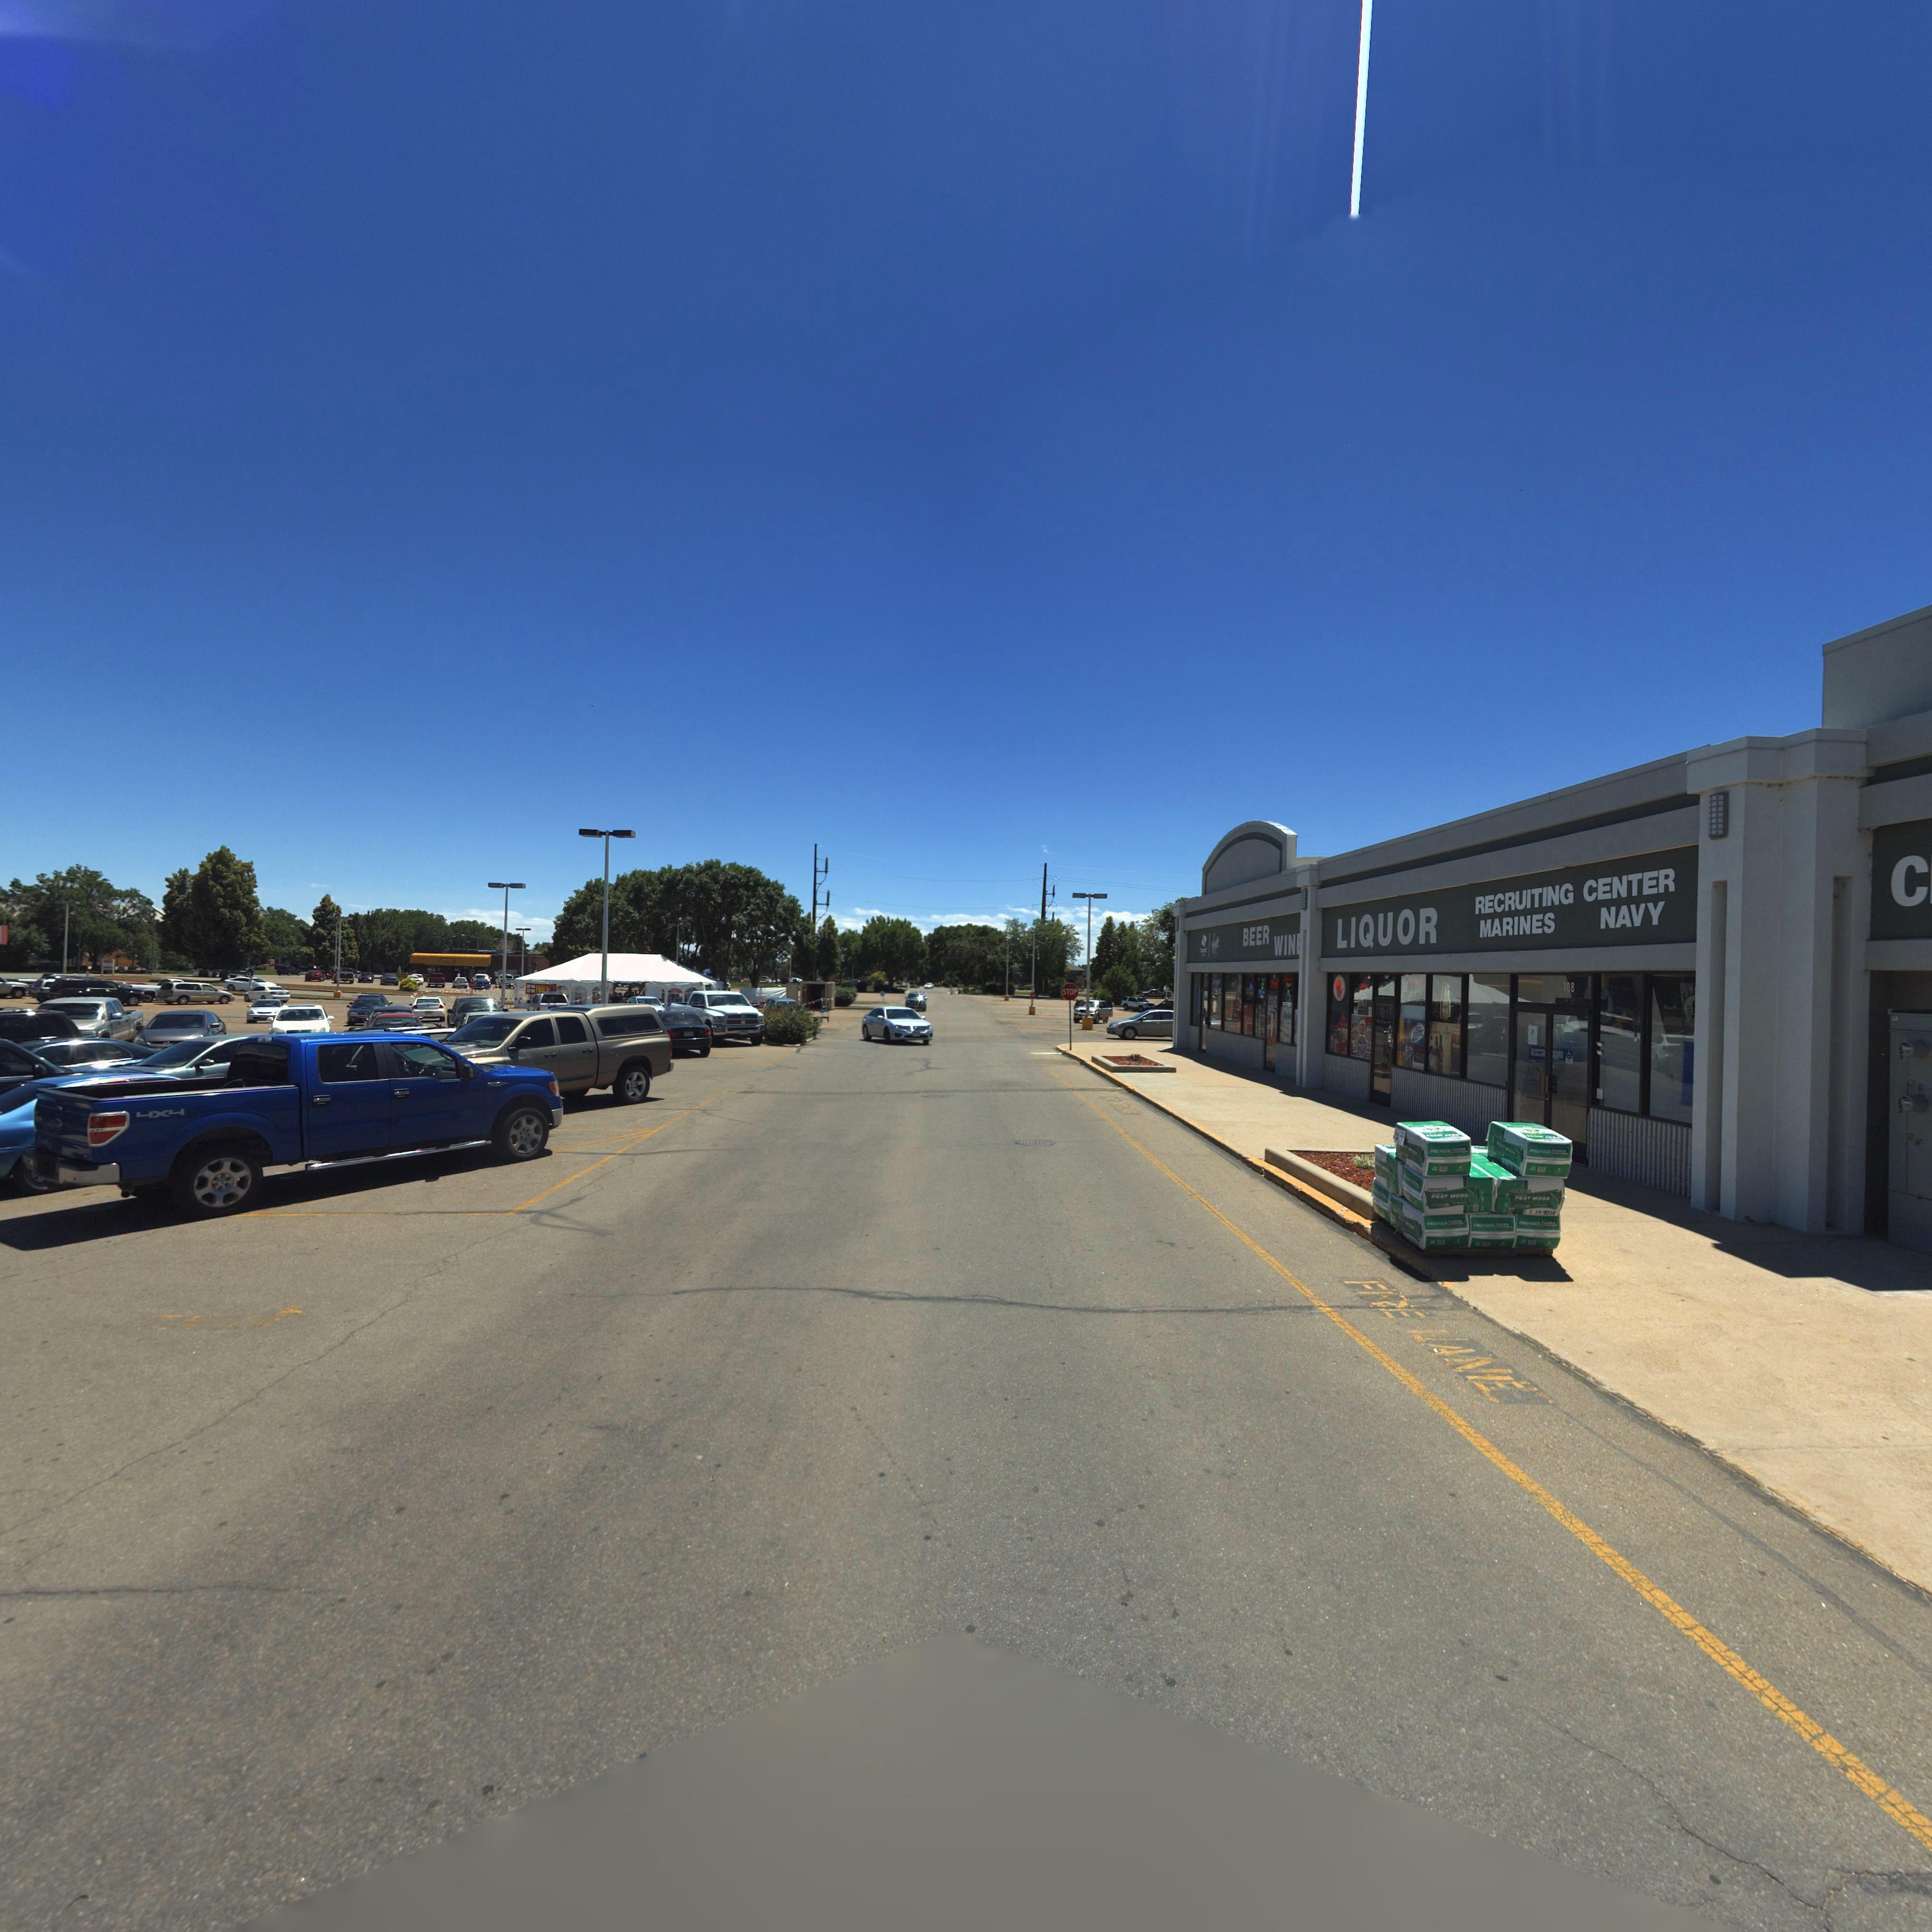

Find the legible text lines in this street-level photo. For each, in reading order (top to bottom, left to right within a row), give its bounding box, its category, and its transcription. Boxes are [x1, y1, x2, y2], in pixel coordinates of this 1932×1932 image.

[1475, 867, 1675, 915] BusinessName: RECRUITING CENTER
[1479, 900, 1666, 938] BusinessName: MARINES NAVY
[1563, 982, 1575, 992] StreetNumber: 108